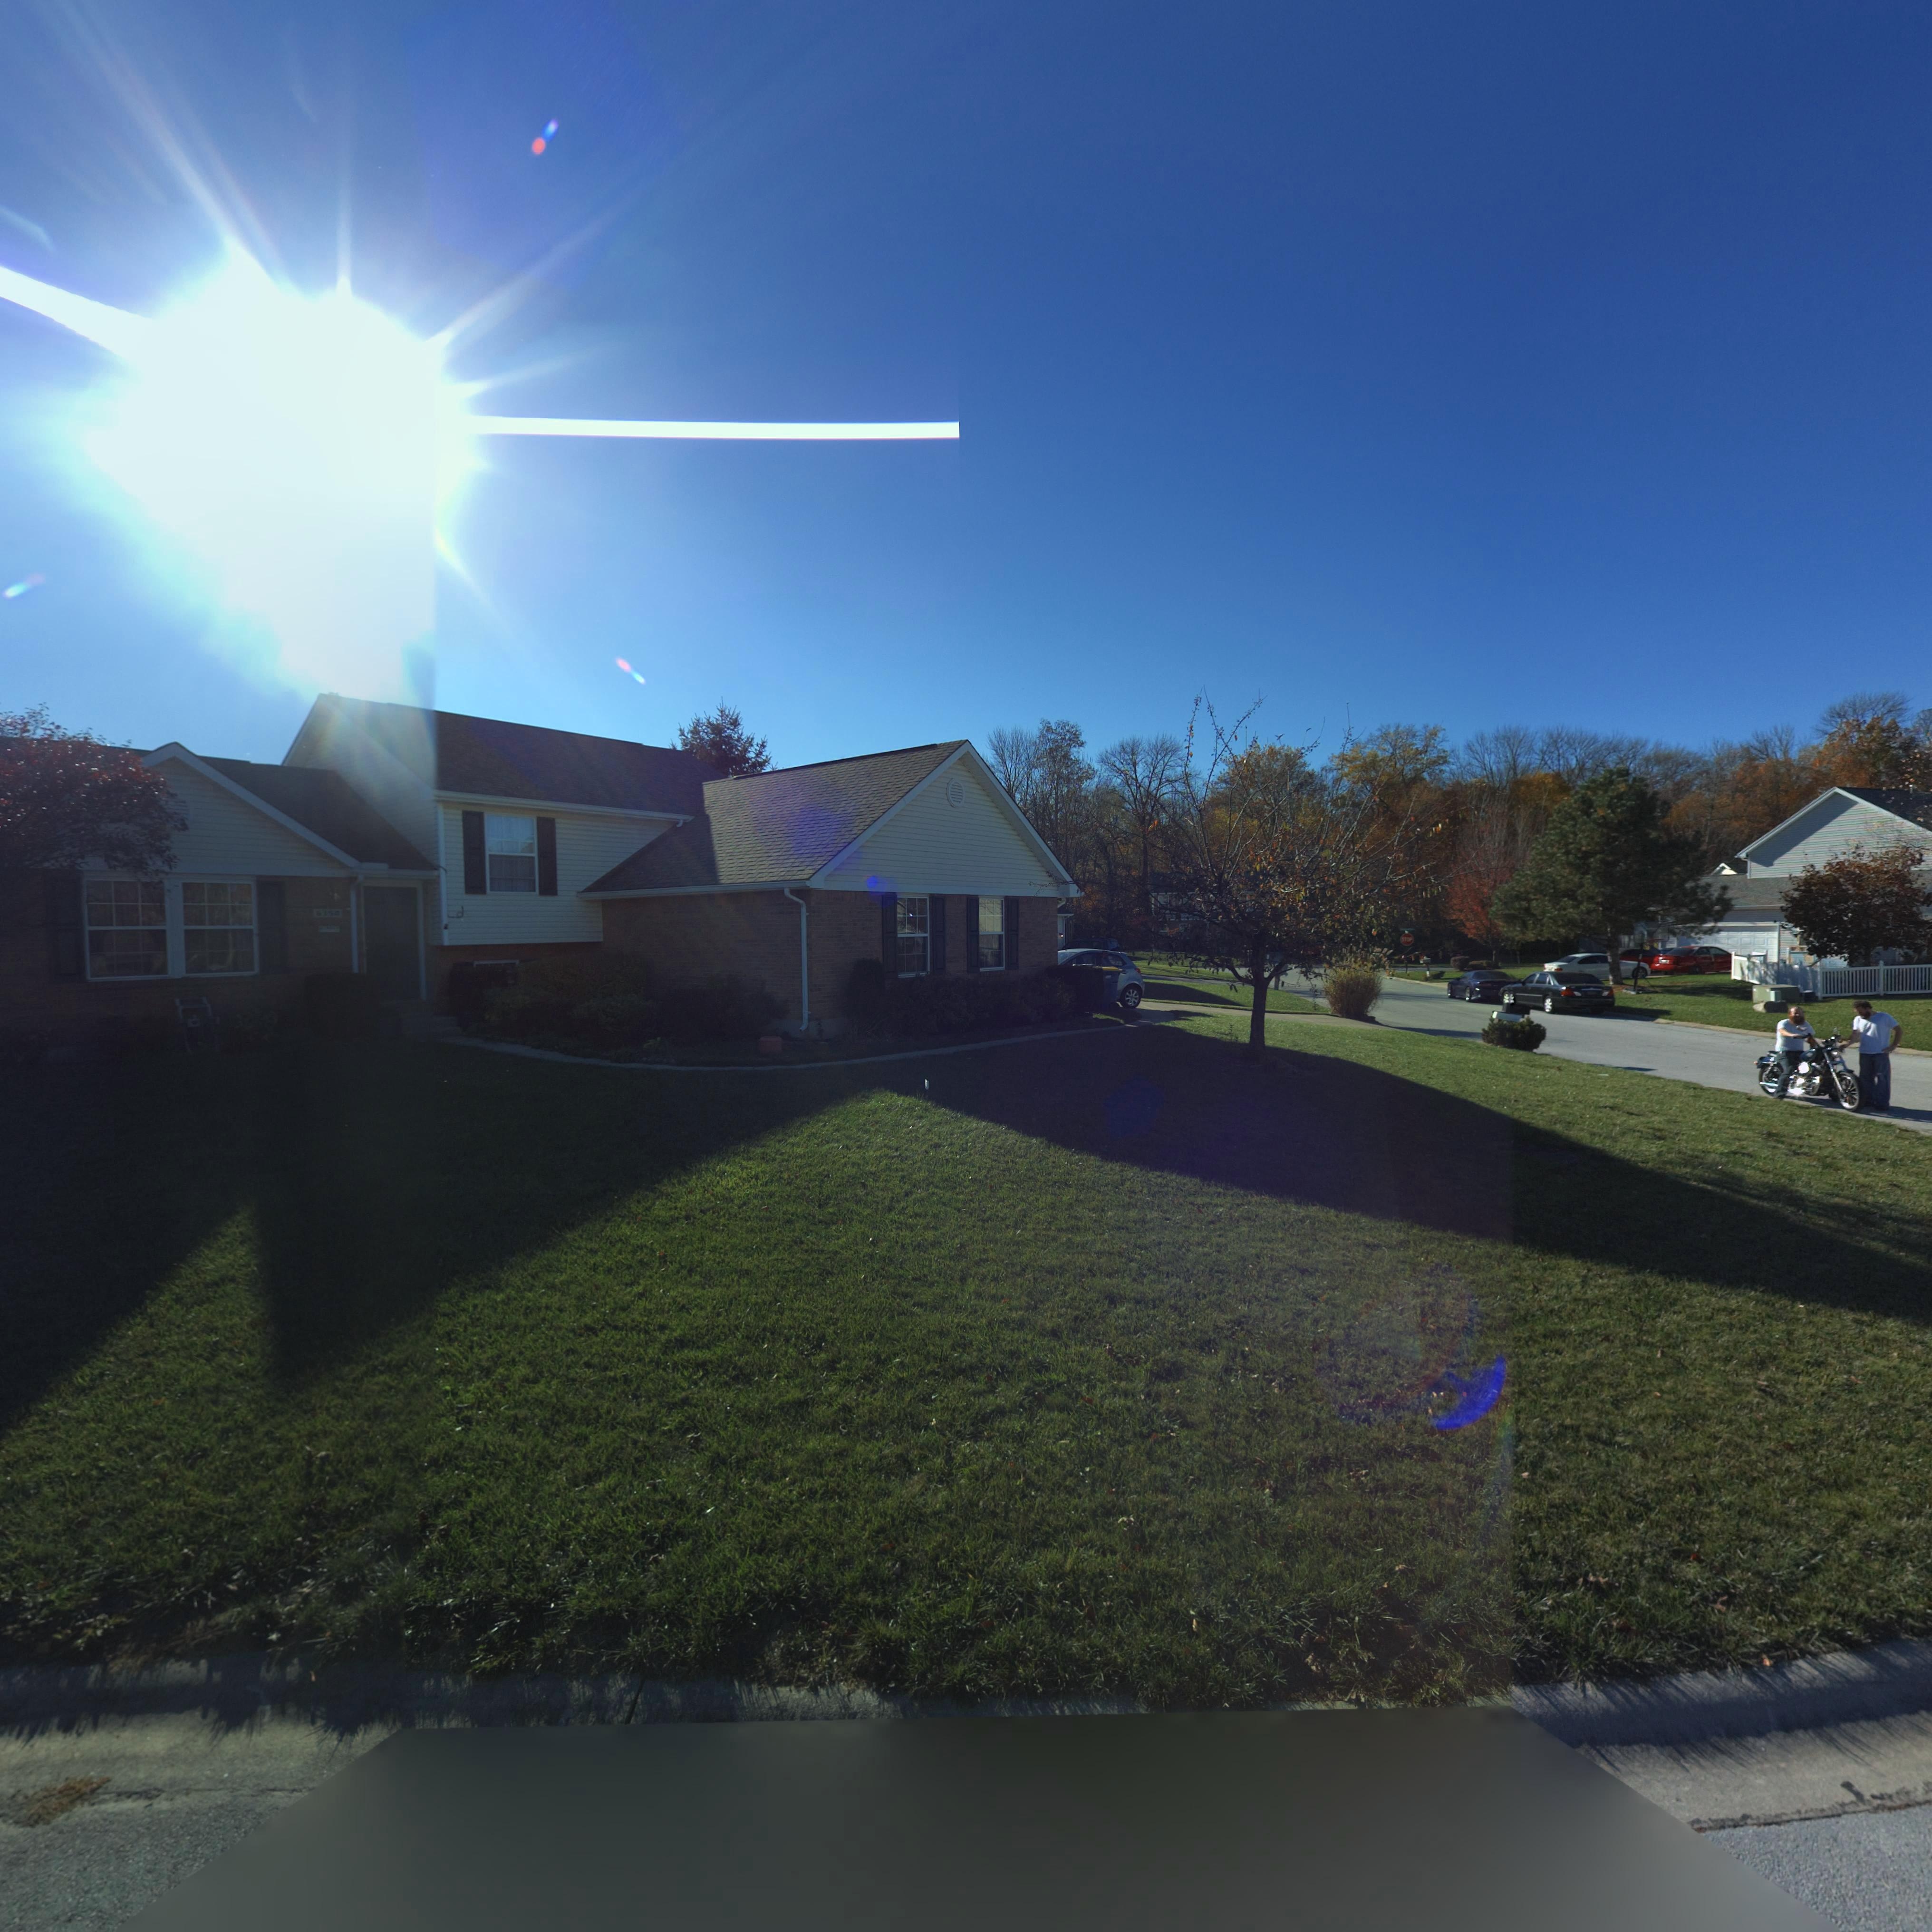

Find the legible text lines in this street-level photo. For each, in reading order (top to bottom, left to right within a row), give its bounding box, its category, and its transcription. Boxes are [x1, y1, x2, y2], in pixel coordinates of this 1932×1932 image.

[315, 909, 341, 917] StreetNumber: 635*